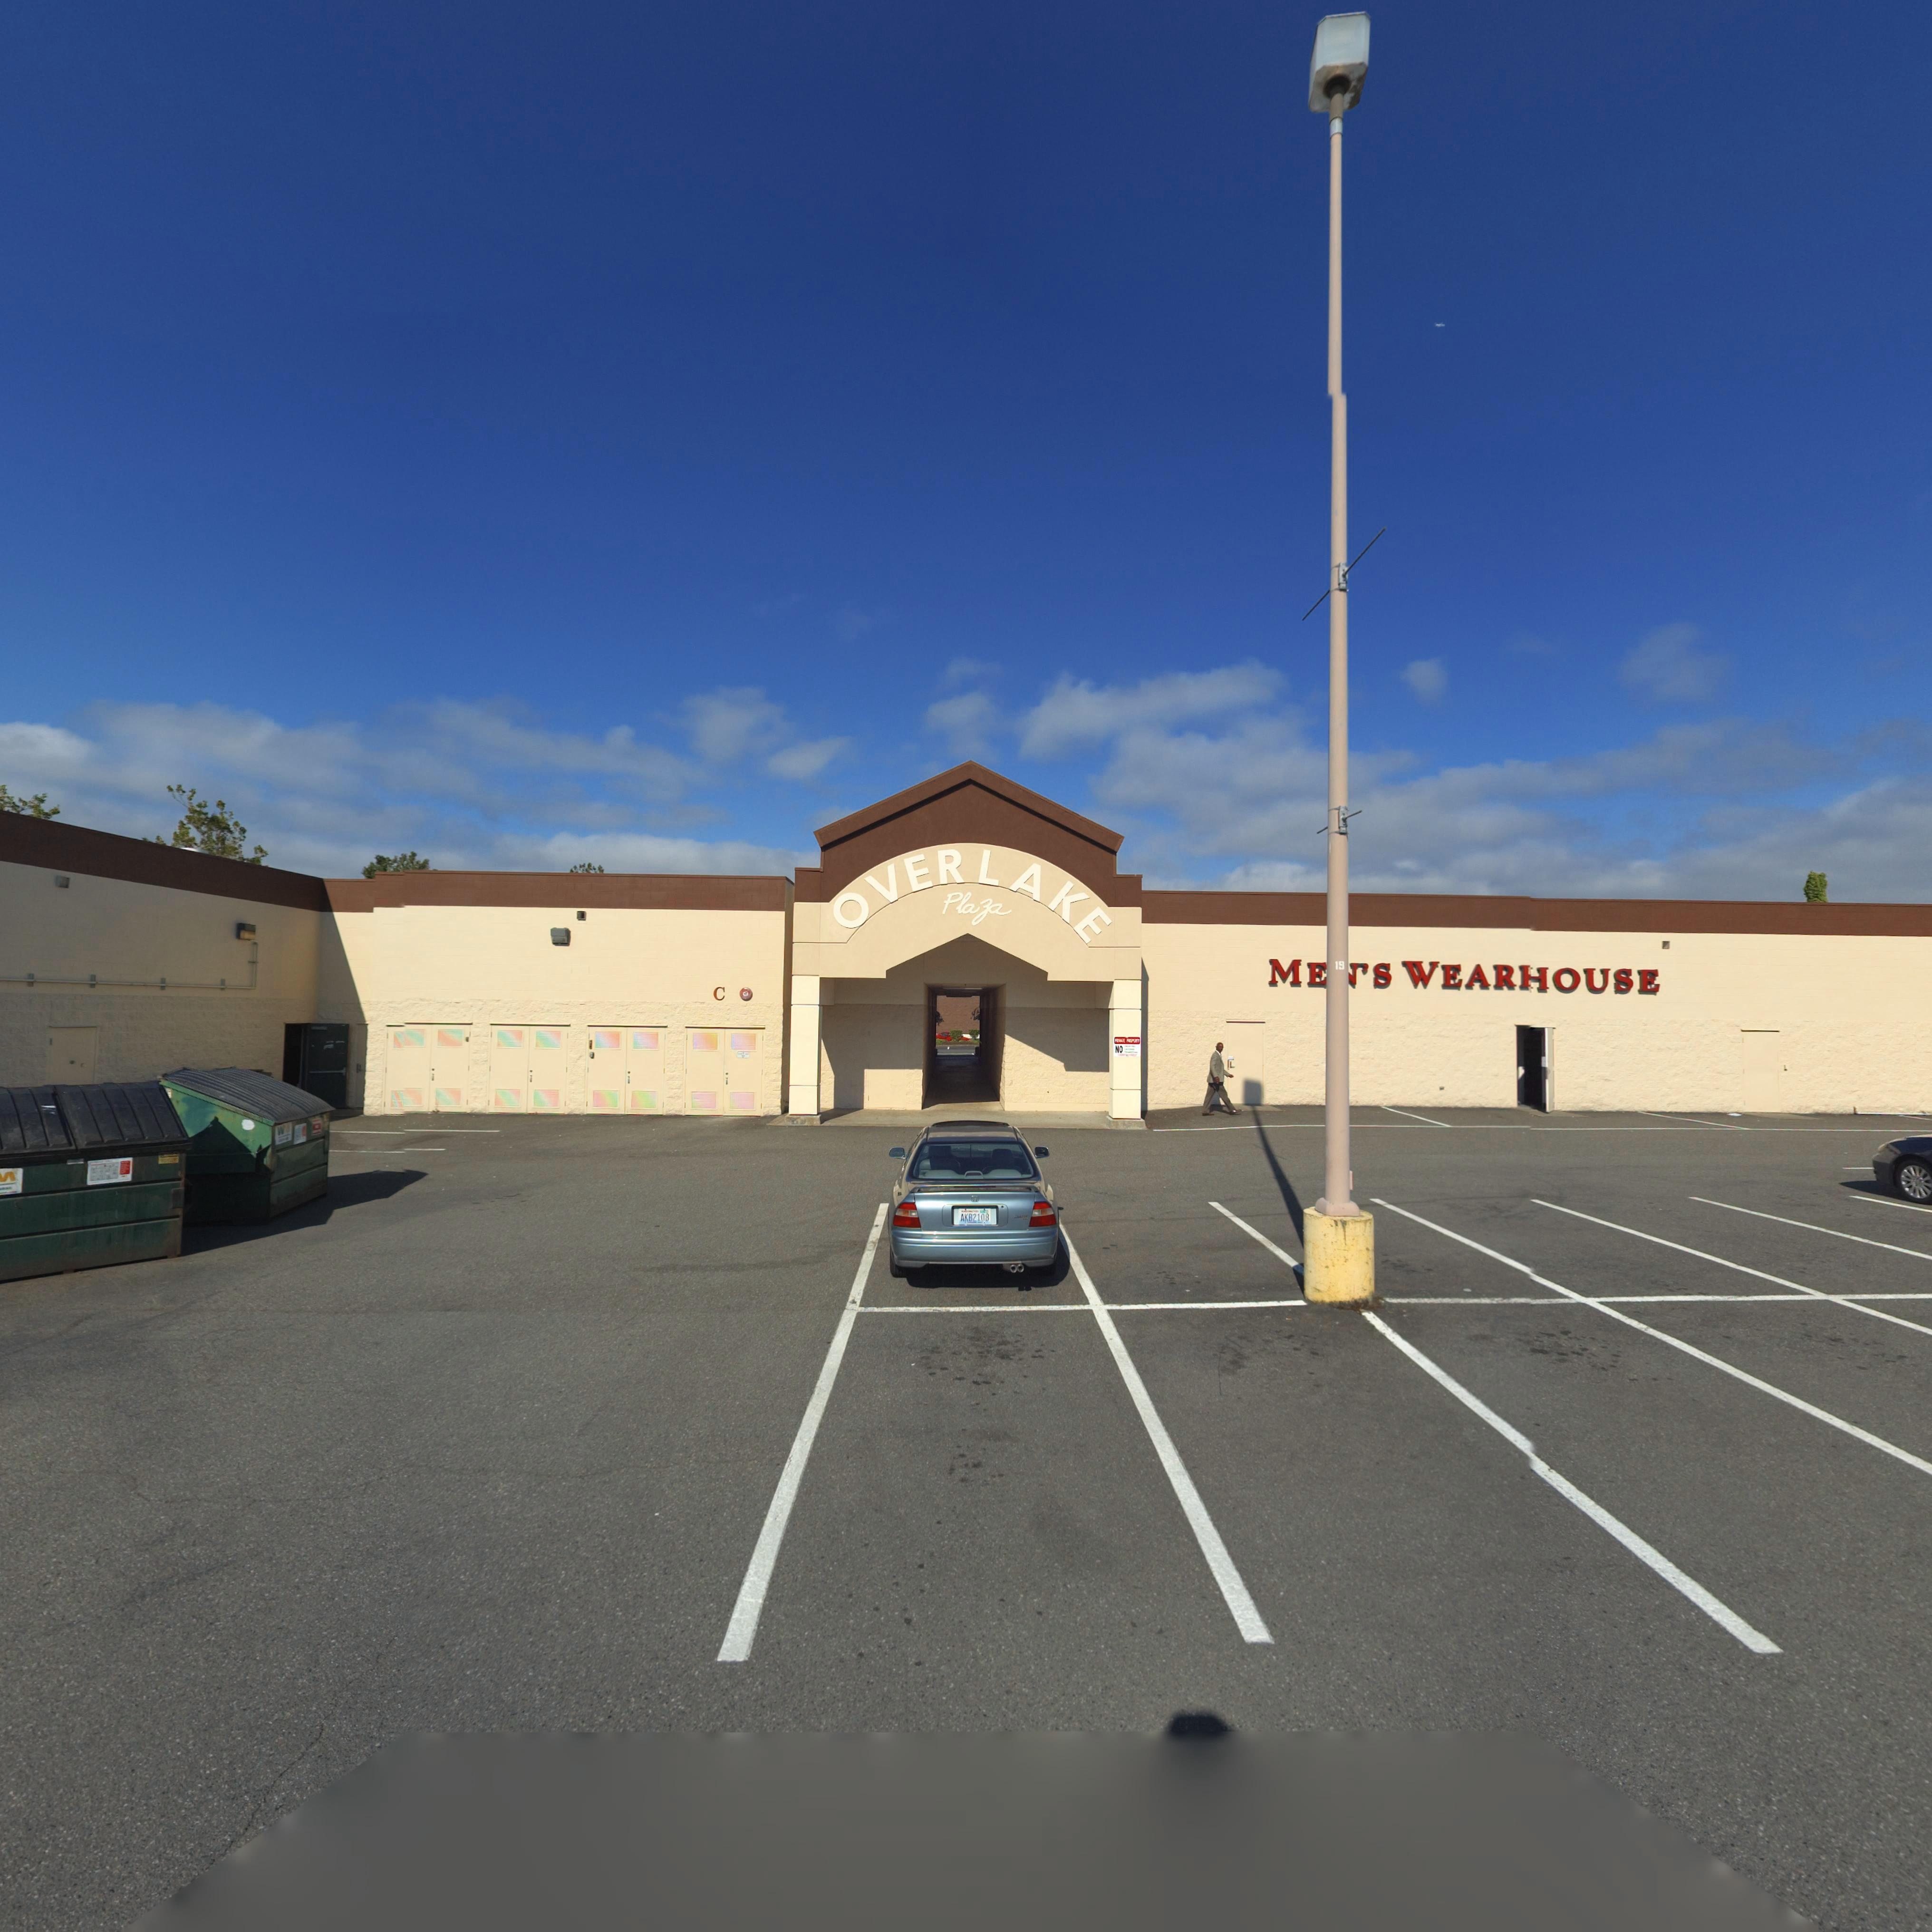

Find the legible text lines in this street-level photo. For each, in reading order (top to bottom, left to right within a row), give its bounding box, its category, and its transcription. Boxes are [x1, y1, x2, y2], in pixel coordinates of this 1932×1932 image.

[1266, 955, 1662, 995] BusinessName: ME*'S WAREHOUSE